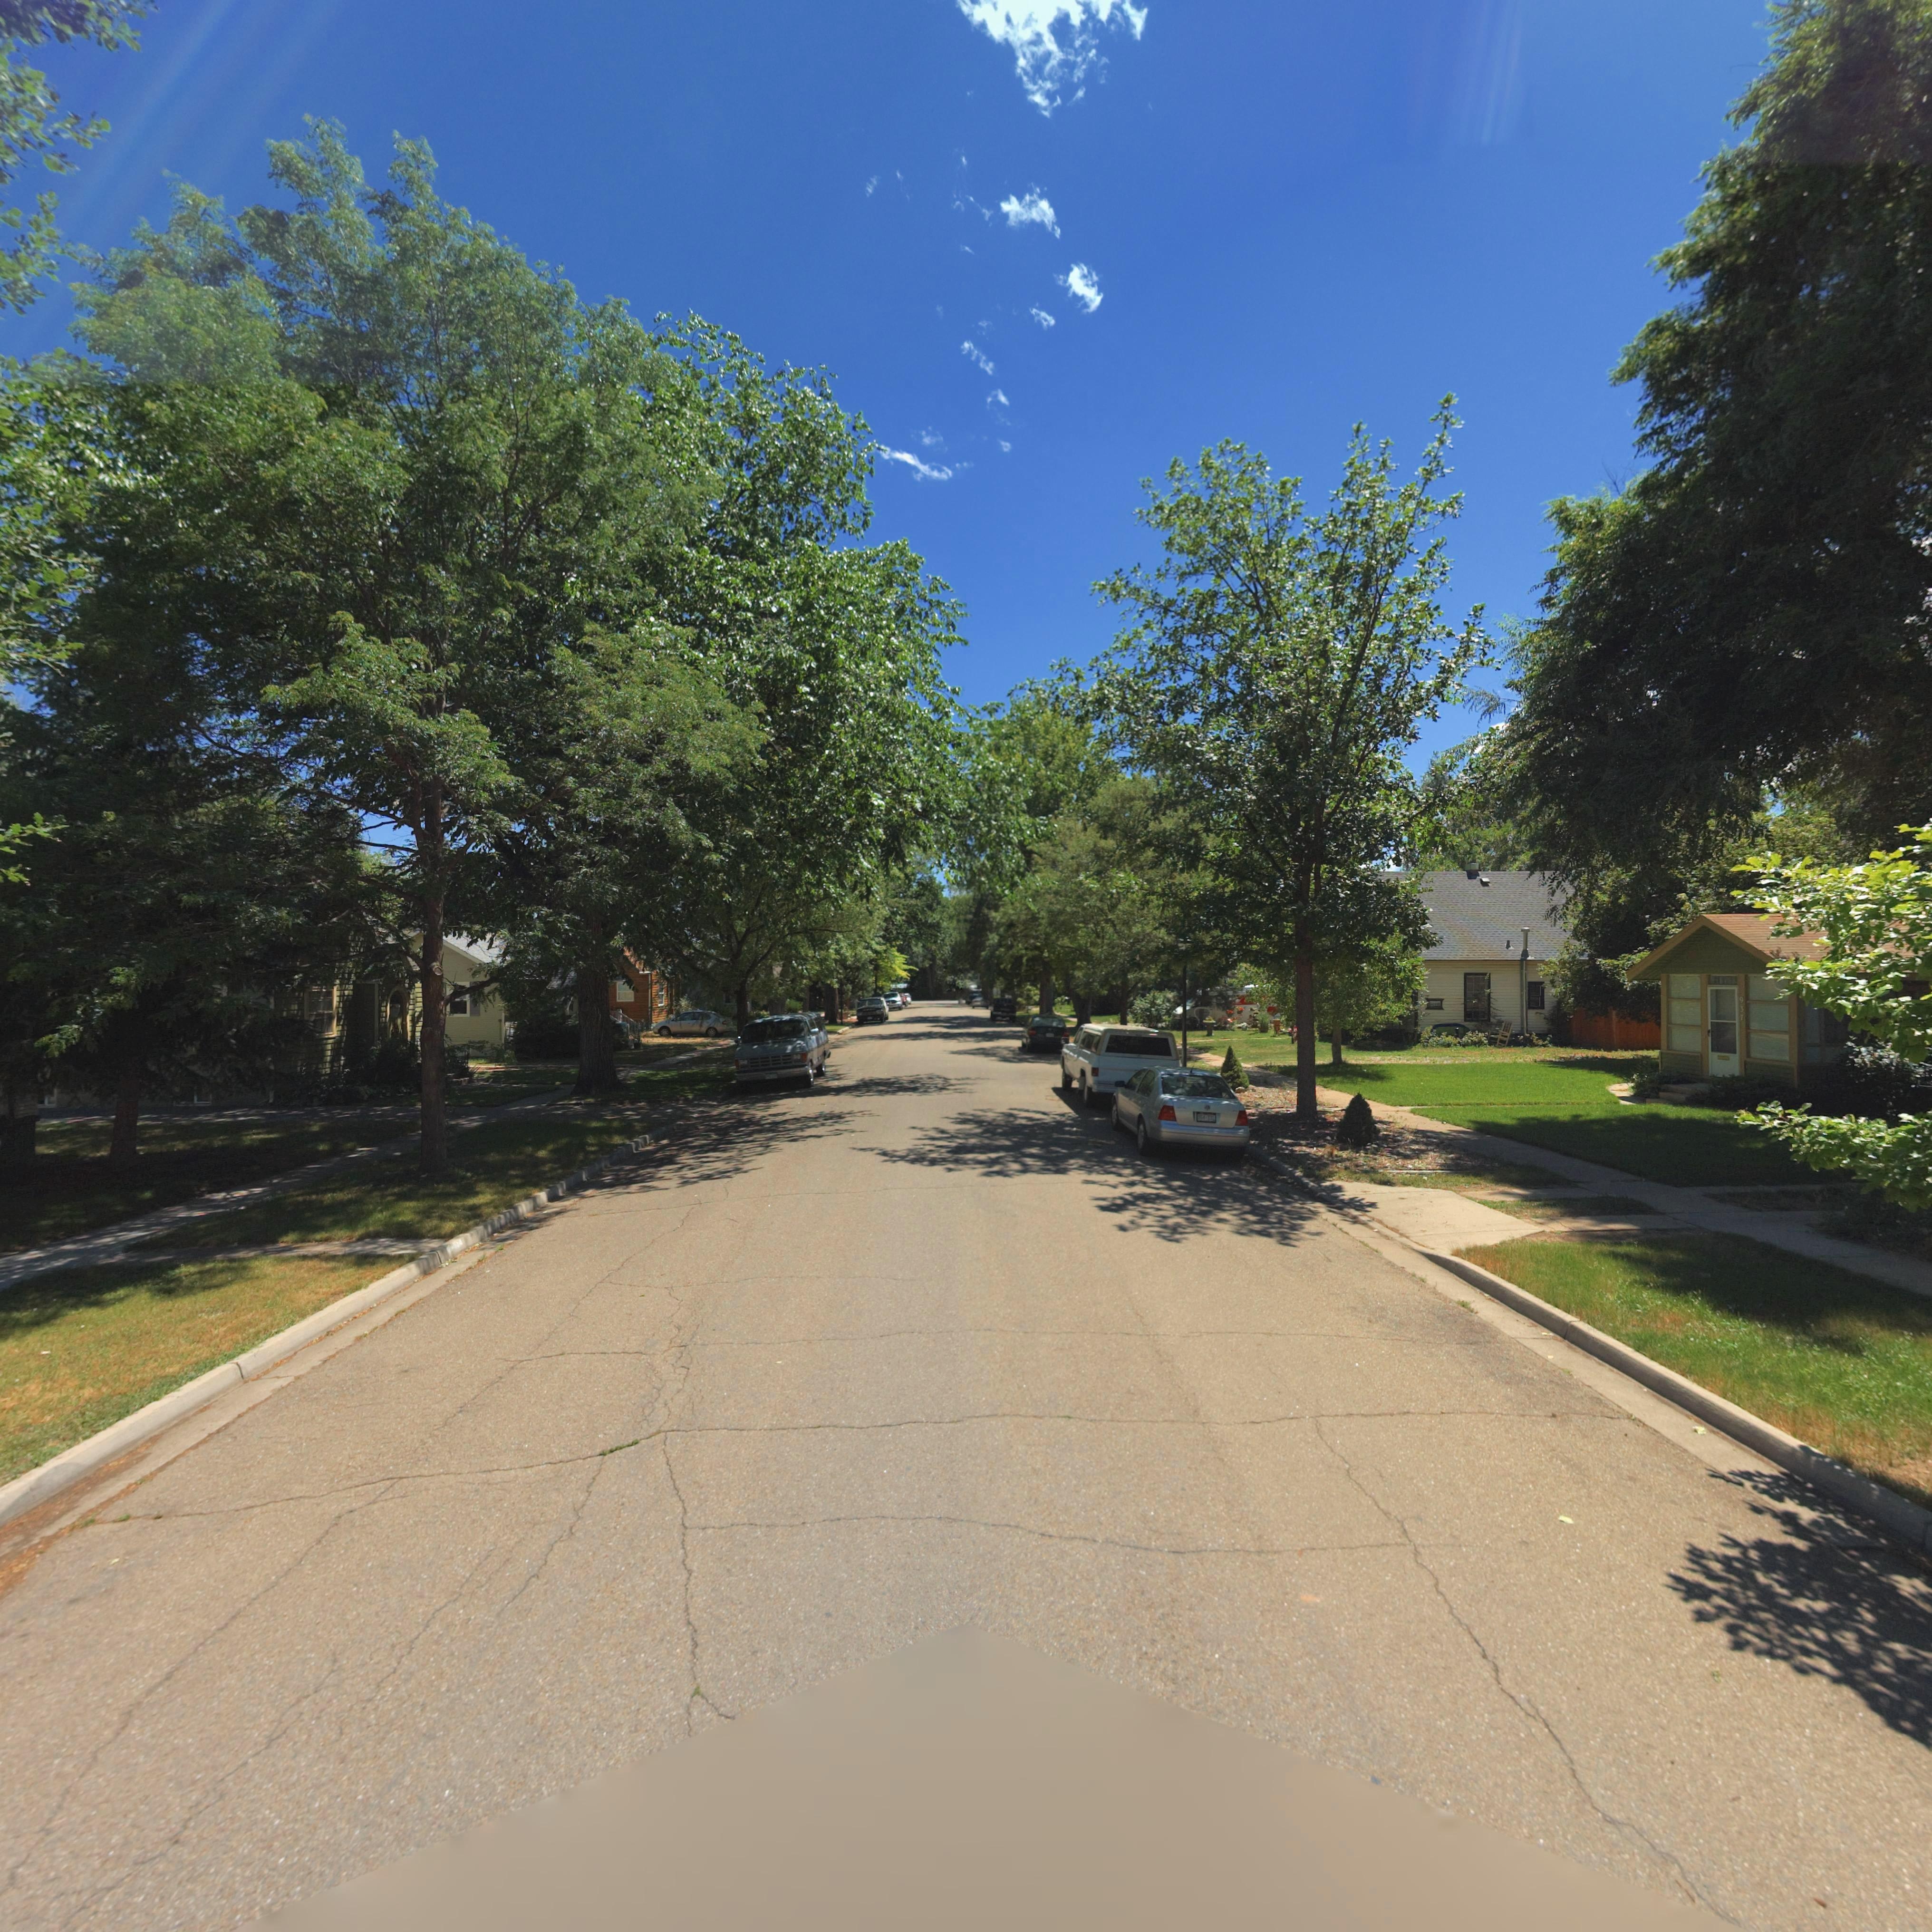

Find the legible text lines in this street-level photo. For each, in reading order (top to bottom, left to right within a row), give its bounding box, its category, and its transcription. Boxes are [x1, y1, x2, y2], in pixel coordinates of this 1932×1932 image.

[1739, 995, 1744, 1021] StreetNumber: 937